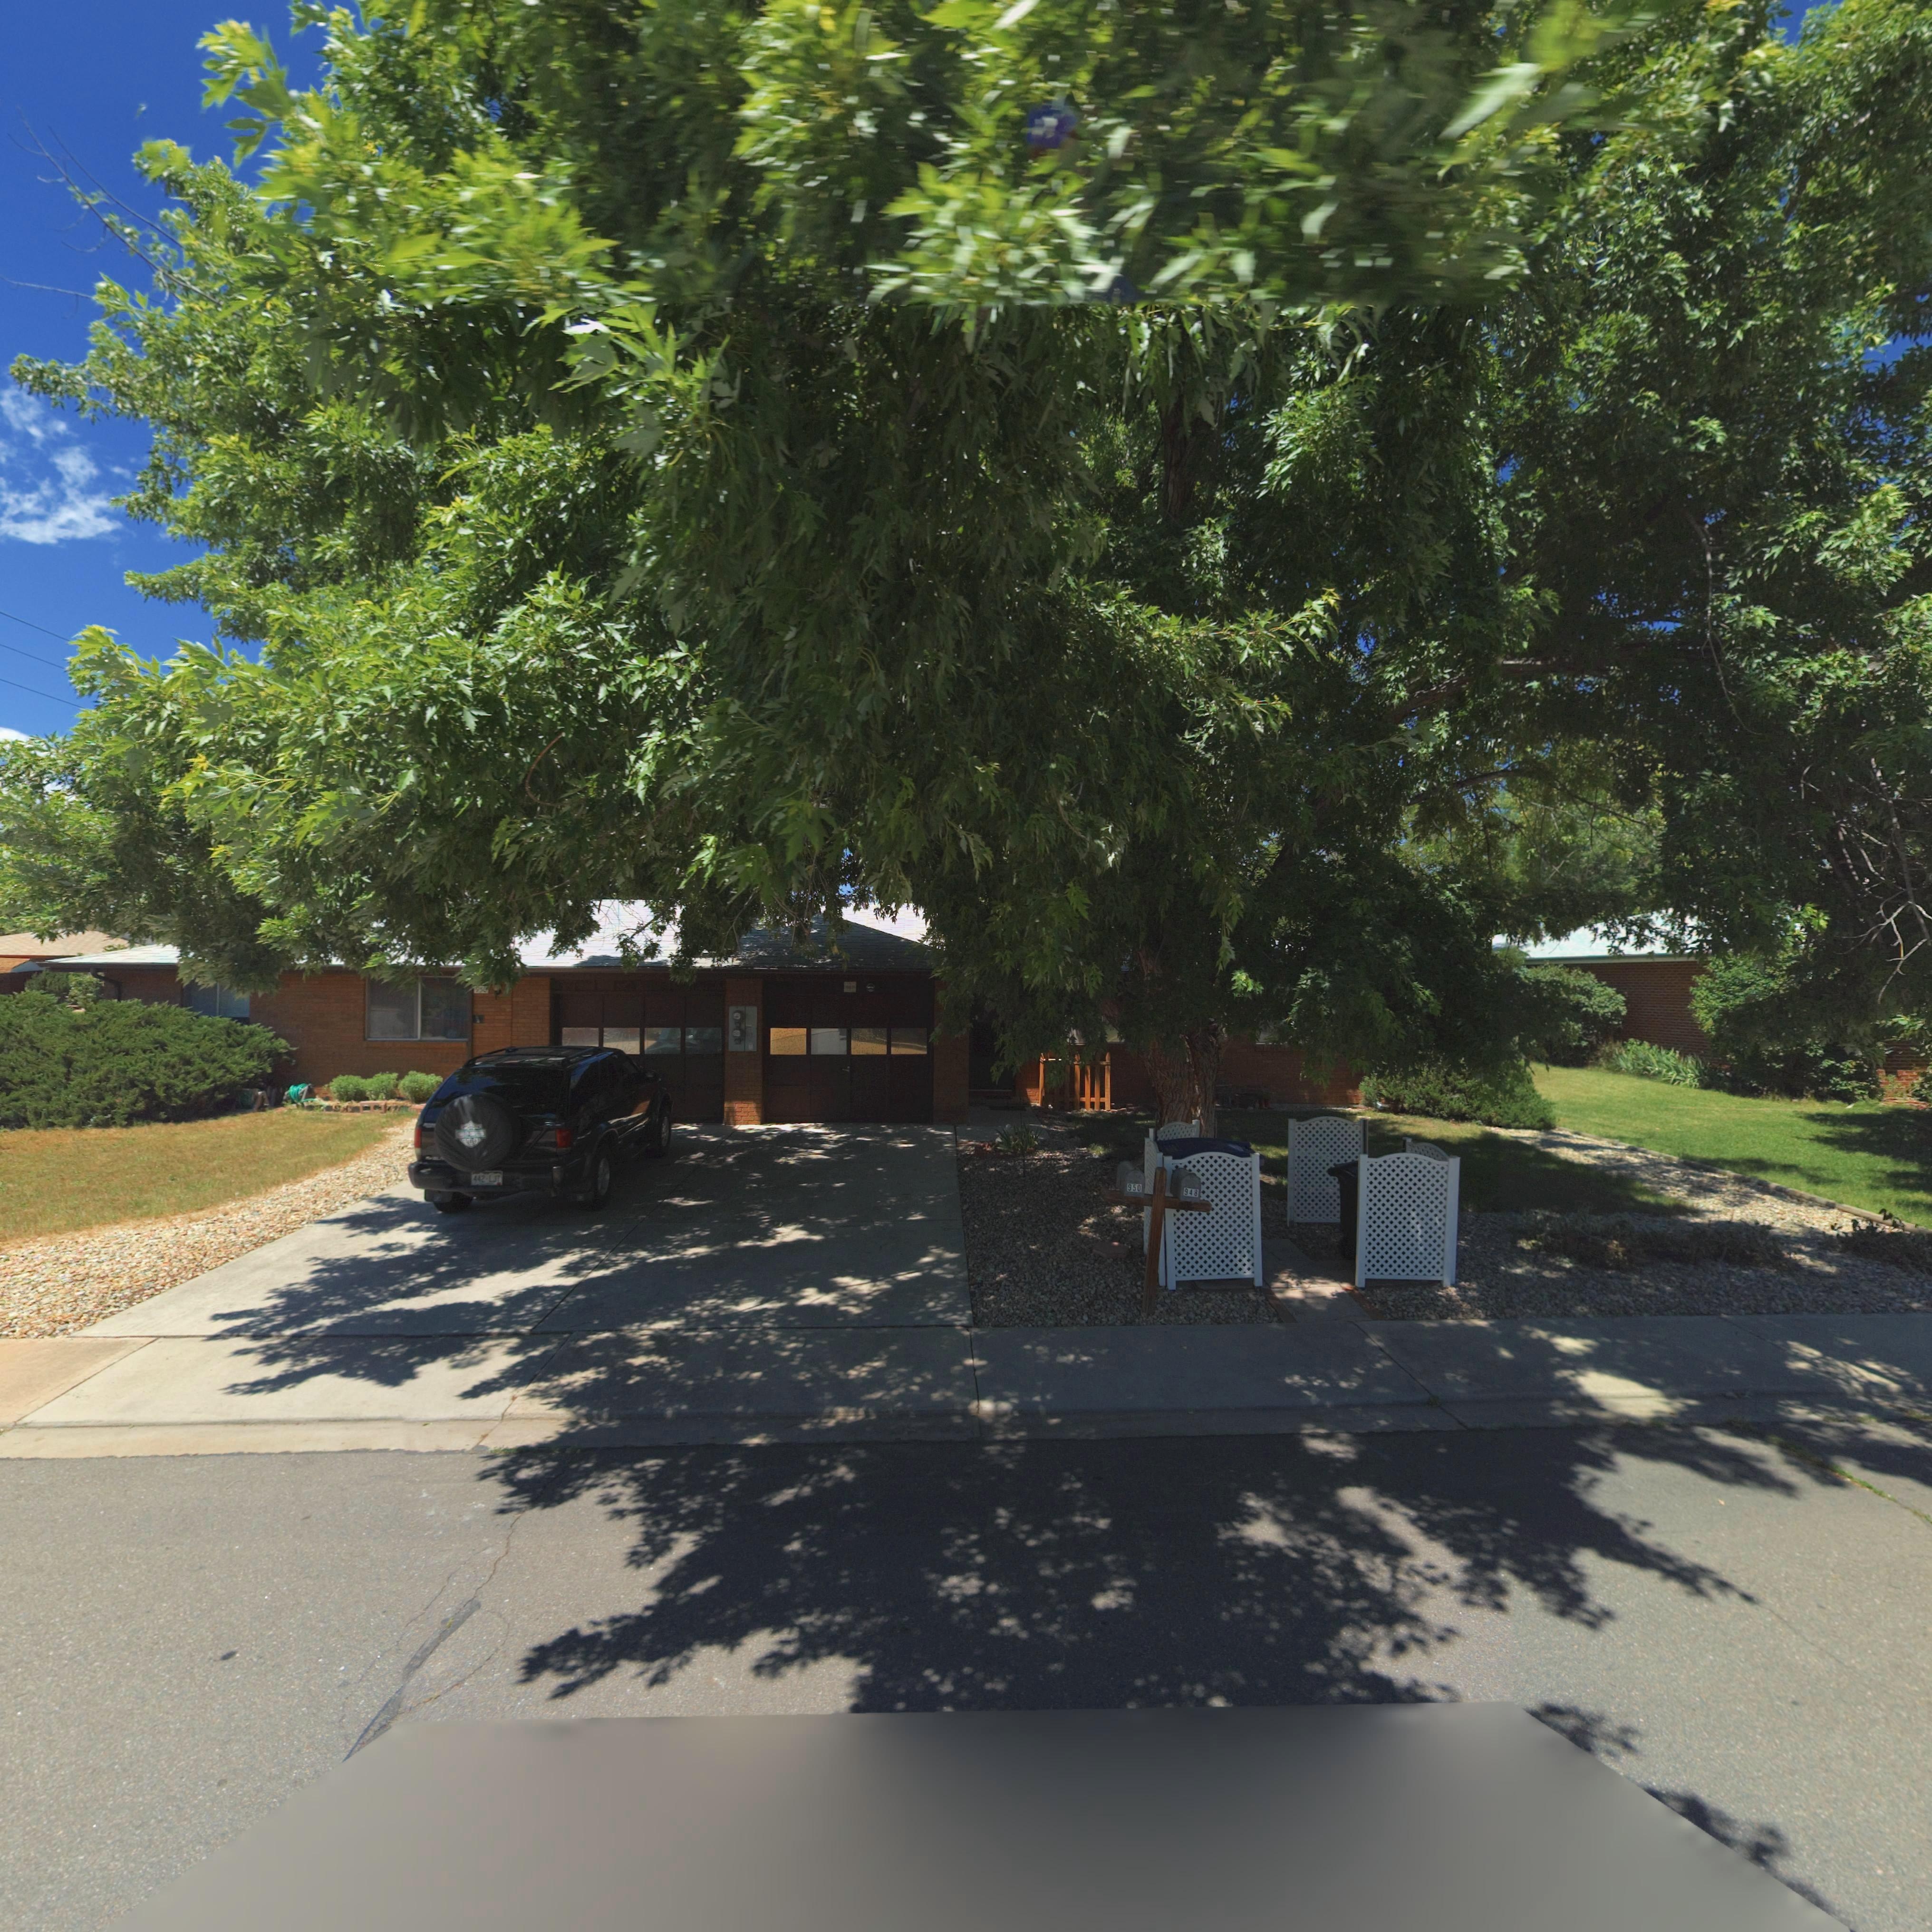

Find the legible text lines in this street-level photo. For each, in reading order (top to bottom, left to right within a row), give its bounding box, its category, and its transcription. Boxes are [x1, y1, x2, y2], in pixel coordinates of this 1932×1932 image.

[474, 985, 487, 992] StreetNumber: 95*
[1128, 1184, 1141, 1191] StreetNumber: 950
[1184, 1188, 1197, 1196] StreetNumber: 948